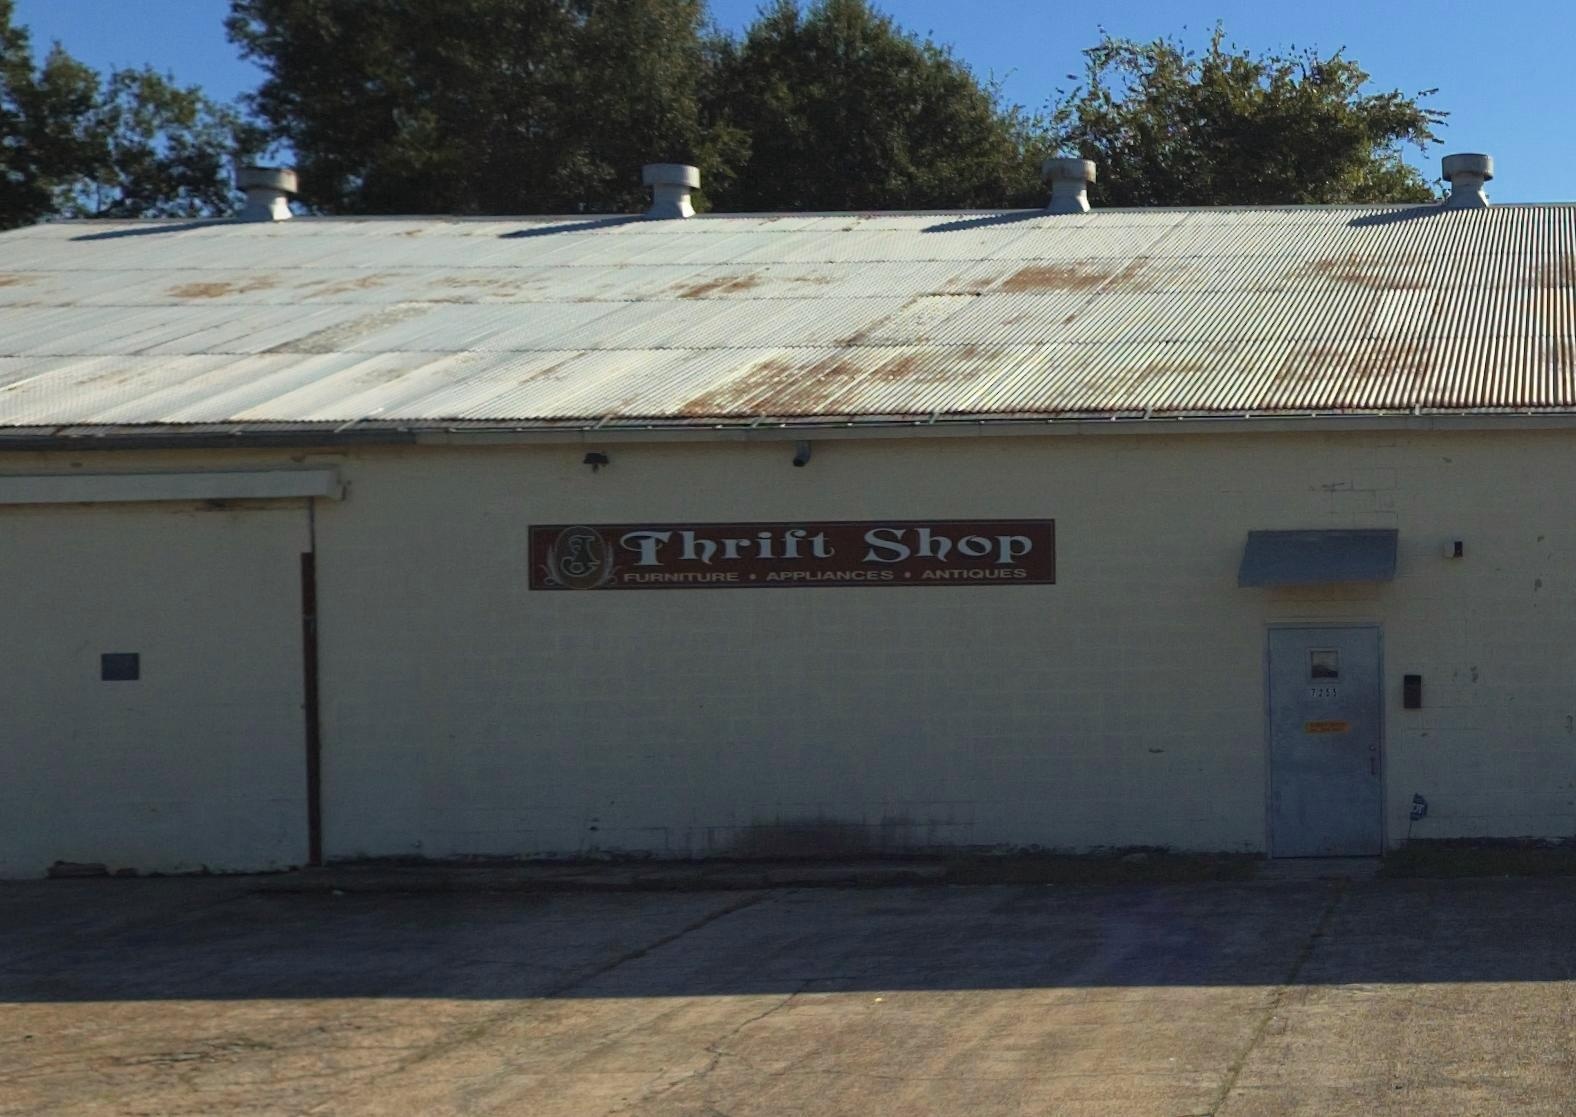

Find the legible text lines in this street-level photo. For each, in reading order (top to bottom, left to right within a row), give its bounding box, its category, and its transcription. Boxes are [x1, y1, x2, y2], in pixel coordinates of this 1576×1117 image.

[613, 521, 1036, 568] BusinessName: Thrift Shop
[621, 566, 1031, 586] BusinessName: FURNATURE * APPLIANCES * ANTIQUES
[1308, 685, 1339, 699] StreetNumber: 72**